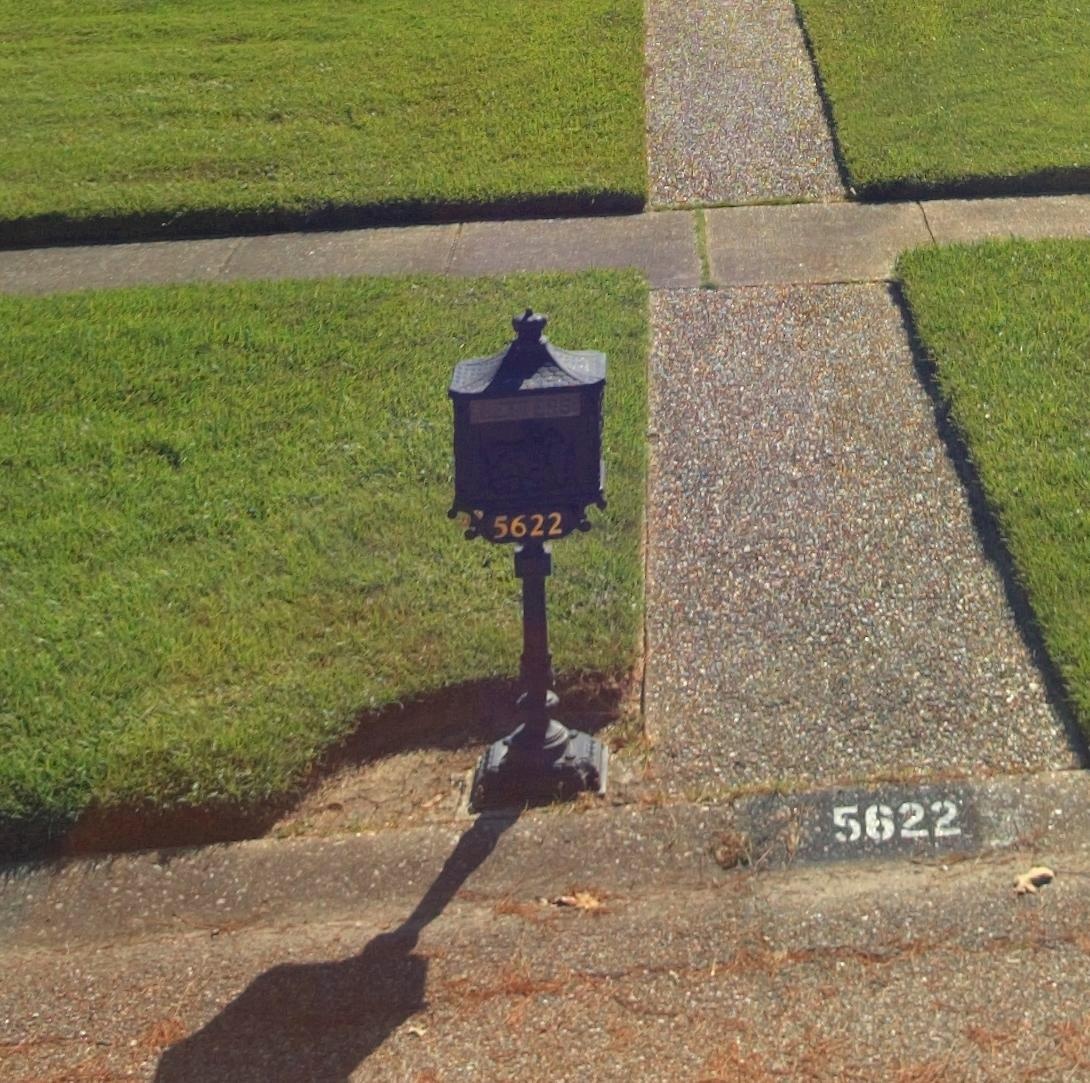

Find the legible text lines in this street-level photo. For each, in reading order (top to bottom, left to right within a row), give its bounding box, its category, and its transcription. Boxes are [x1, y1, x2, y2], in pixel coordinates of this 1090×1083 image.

[473, 392, 577, 427] None: **TTERS
[491, 508, 566, 542] StreetNumber: 5622
[827, 796, 967, 850] StreetNumber: 5622